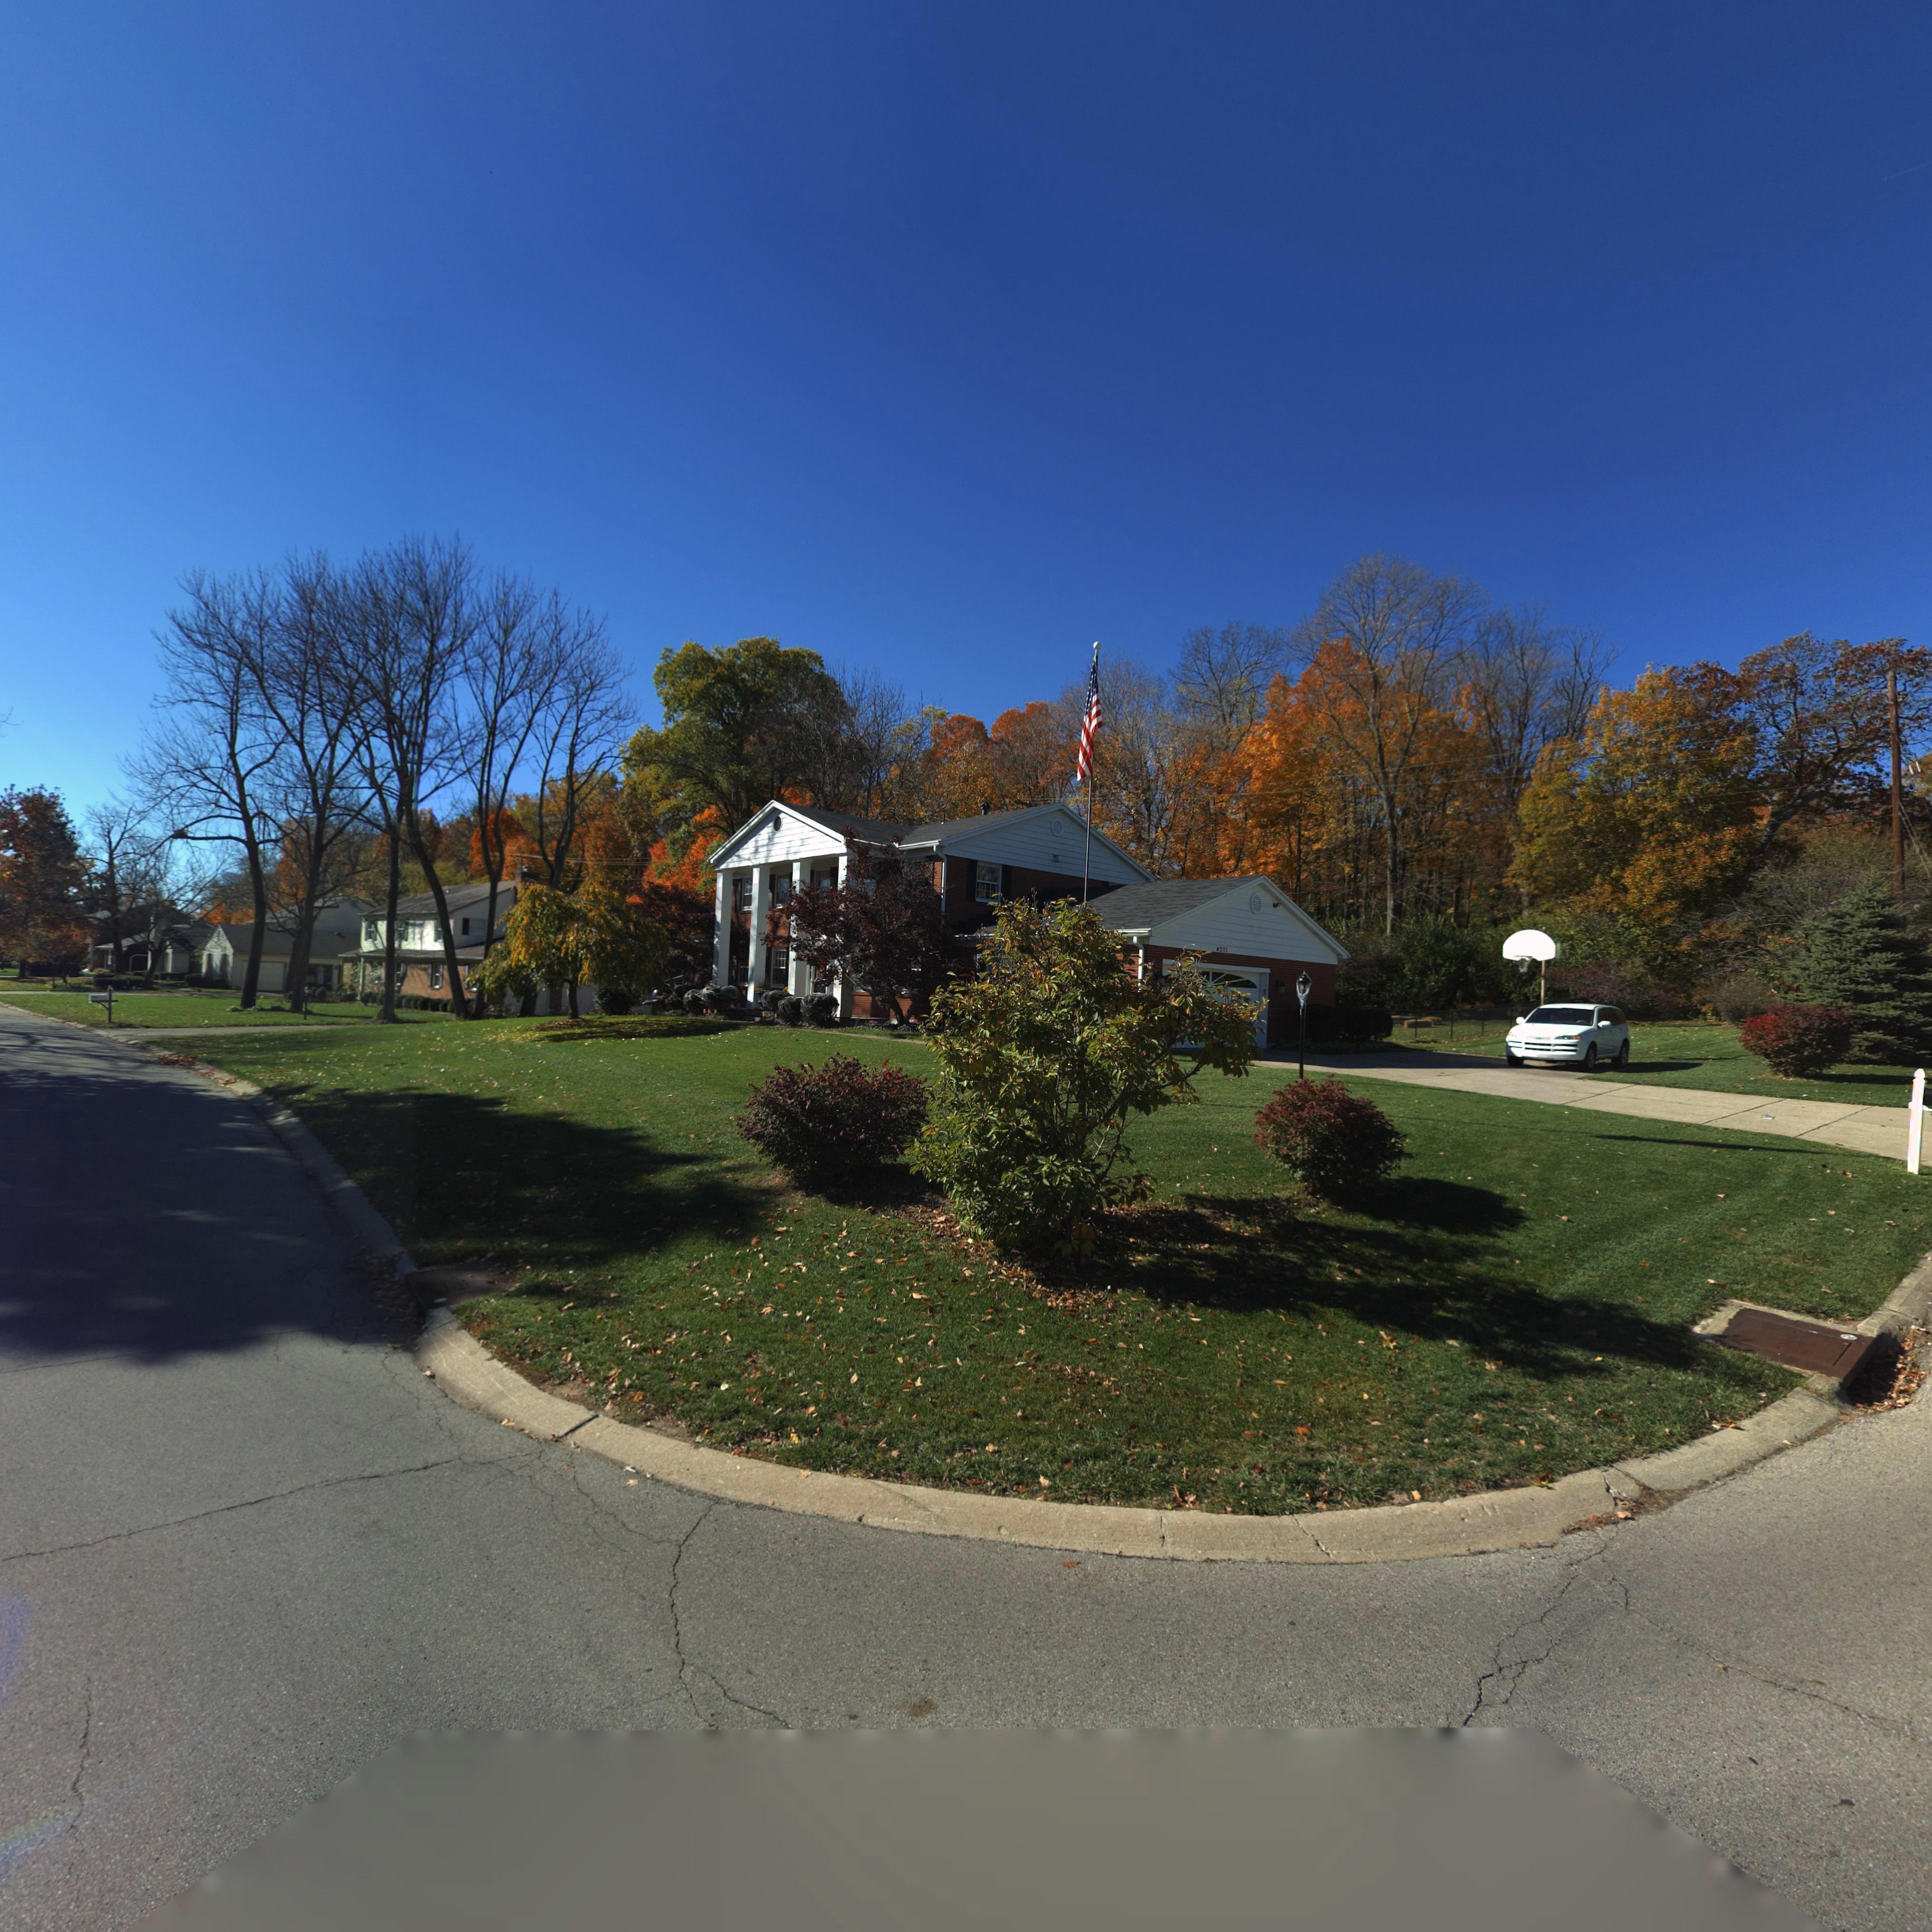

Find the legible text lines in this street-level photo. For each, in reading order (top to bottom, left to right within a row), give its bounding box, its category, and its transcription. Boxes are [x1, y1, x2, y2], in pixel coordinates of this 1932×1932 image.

[1215, 946, 1228, 954] StreetNumber: *201